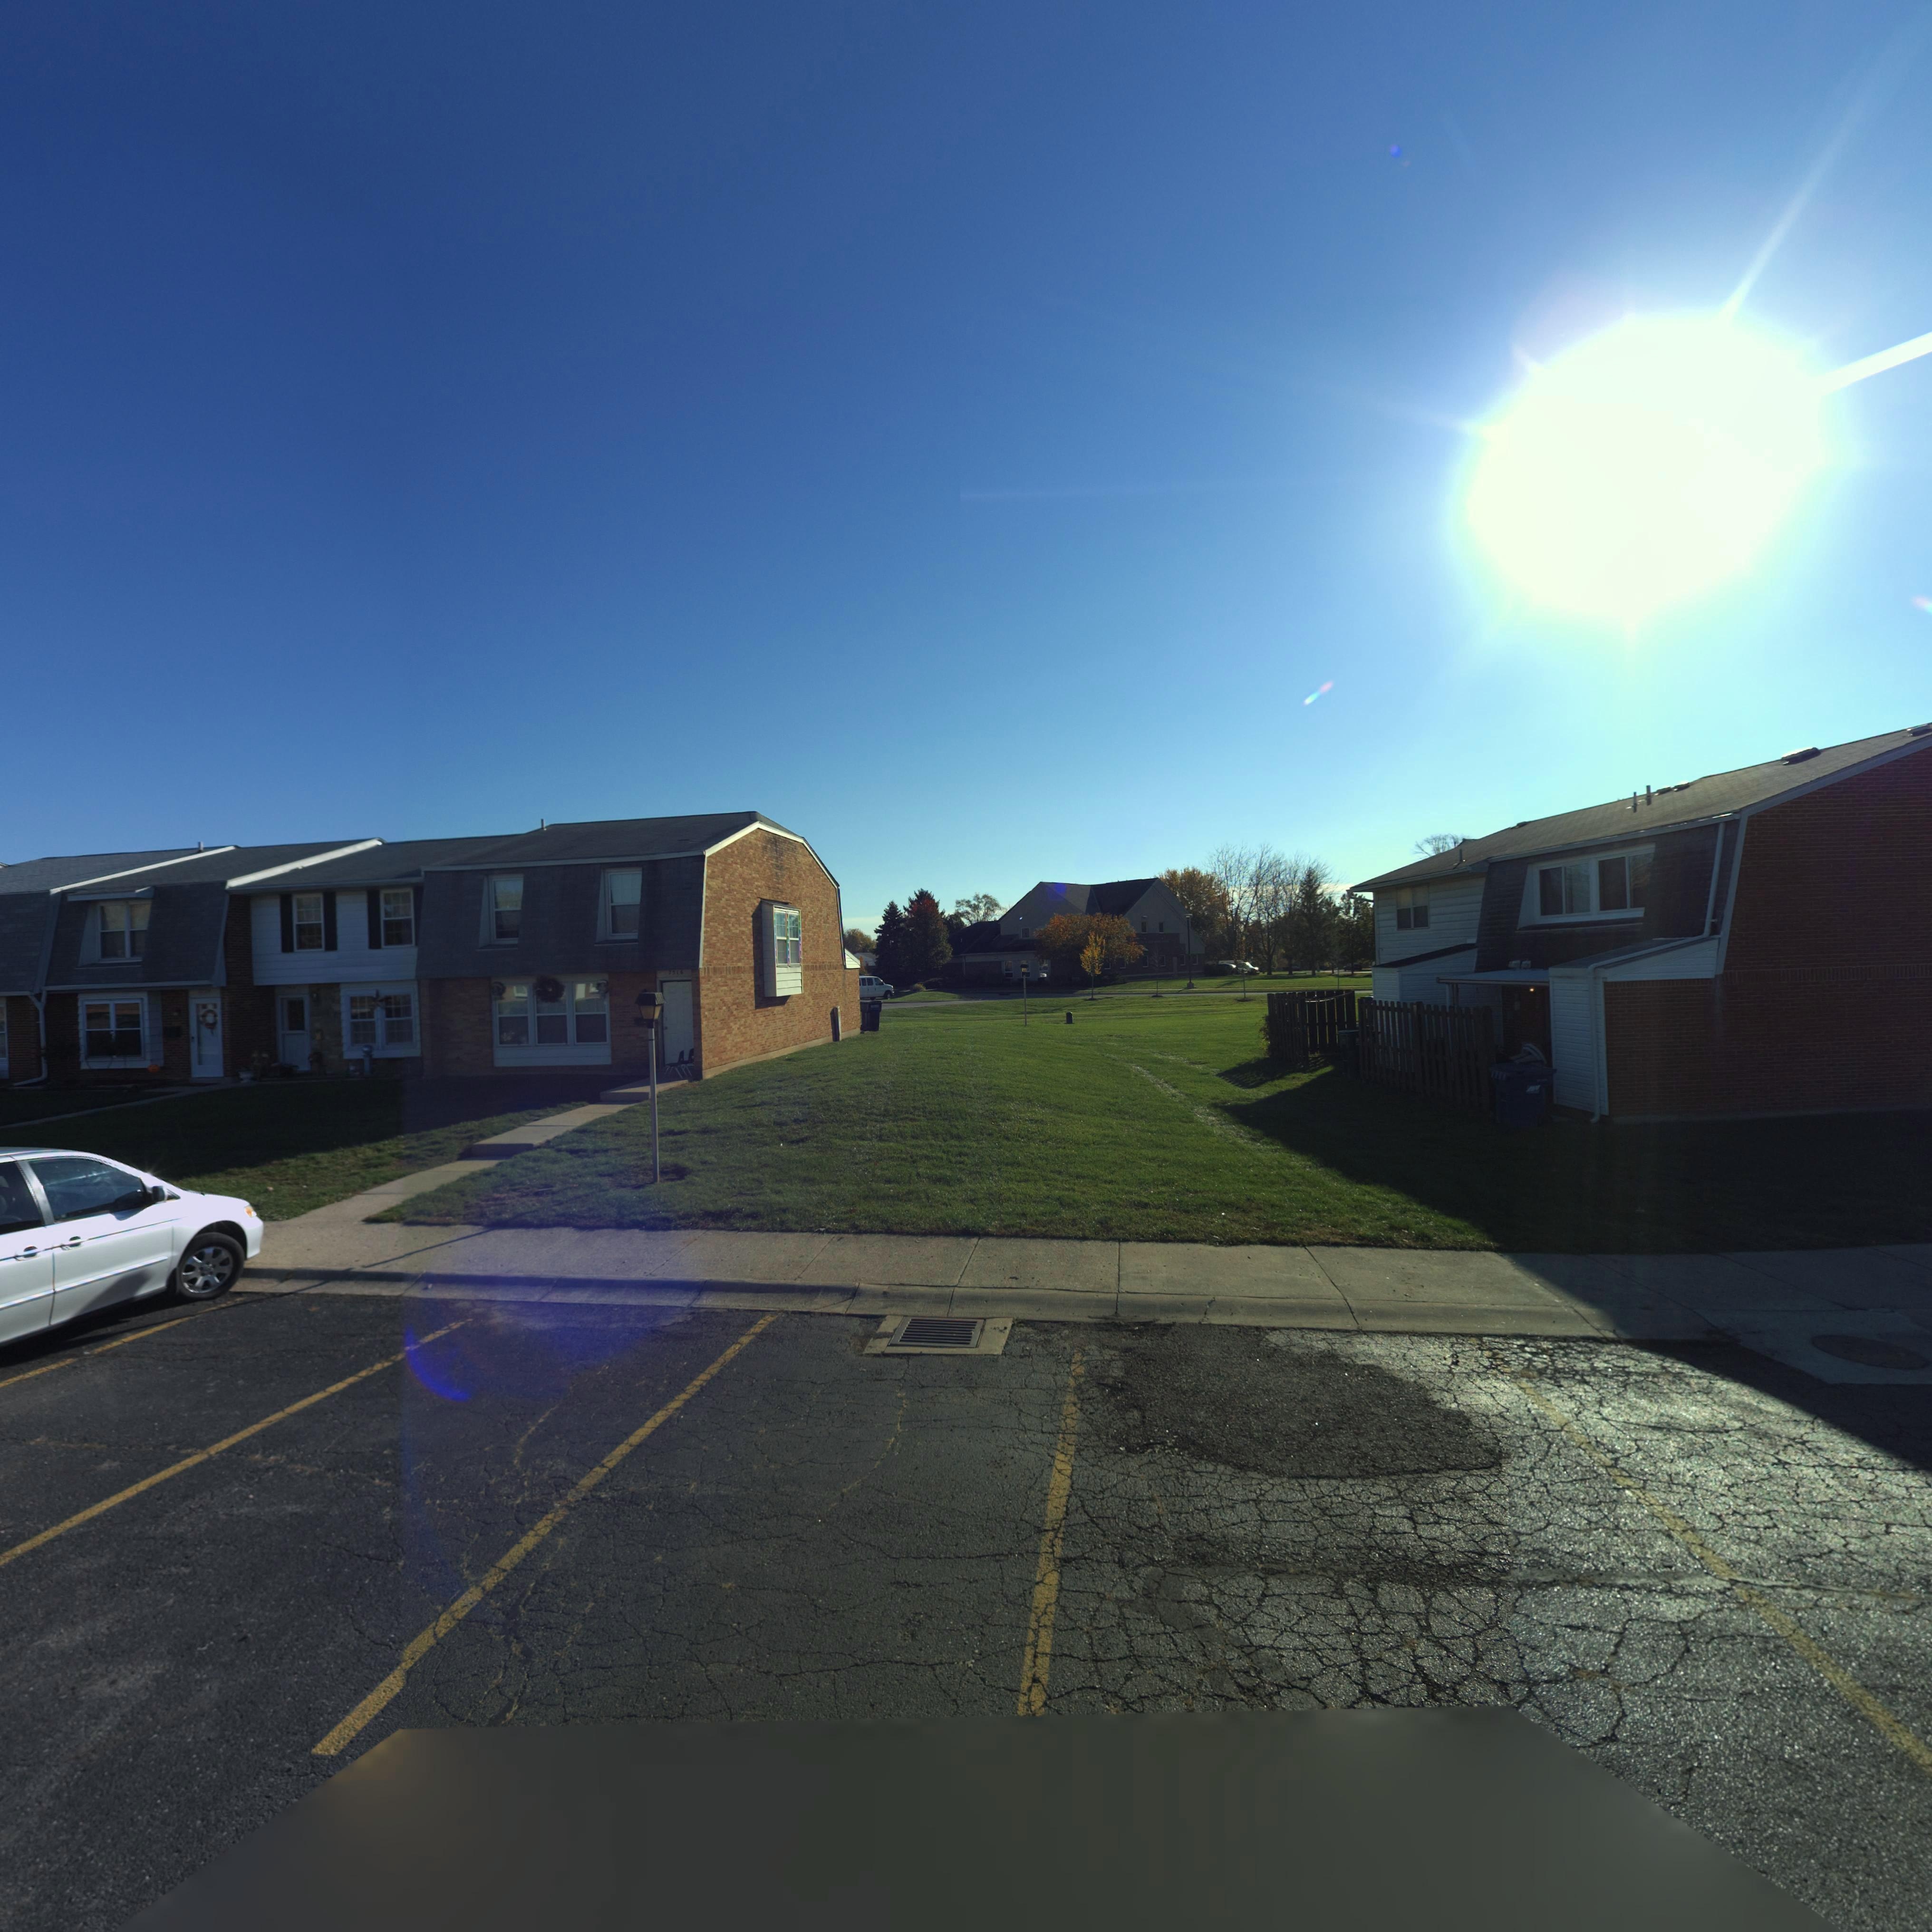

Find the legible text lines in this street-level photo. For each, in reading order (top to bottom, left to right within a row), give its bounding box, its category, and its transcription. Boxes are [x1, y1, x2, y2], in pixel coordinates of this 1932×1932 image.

[667, 969, 684, 975] StreetNumber: 7516